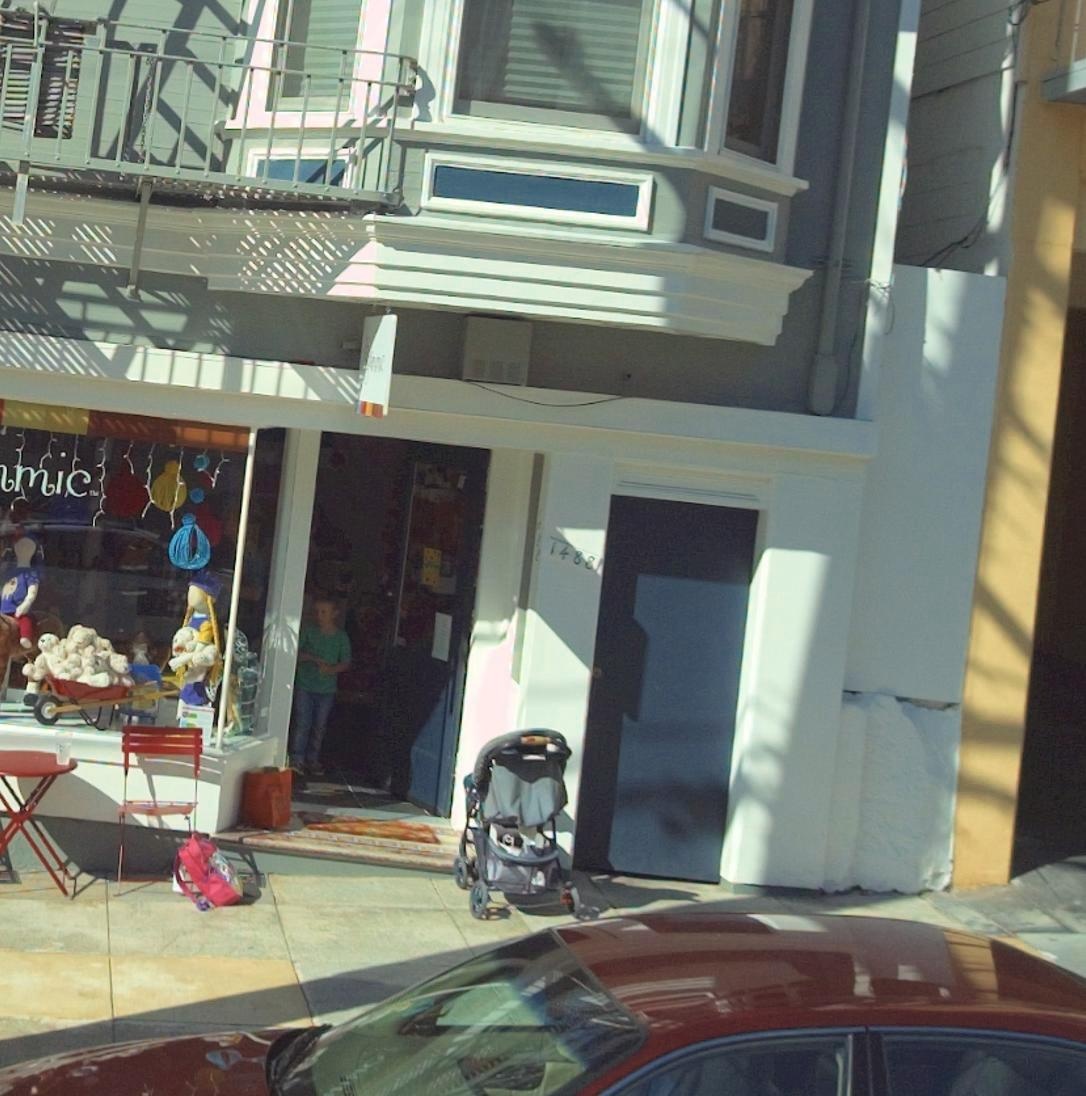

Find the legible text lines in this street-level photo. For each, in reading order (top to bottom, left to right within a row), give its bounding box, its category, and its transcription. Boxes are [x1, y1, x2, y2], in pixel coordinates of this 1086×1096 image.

[9, 448, 94, 502] None: mic
[549, 540, 596, 574] StreetNumber: 1488